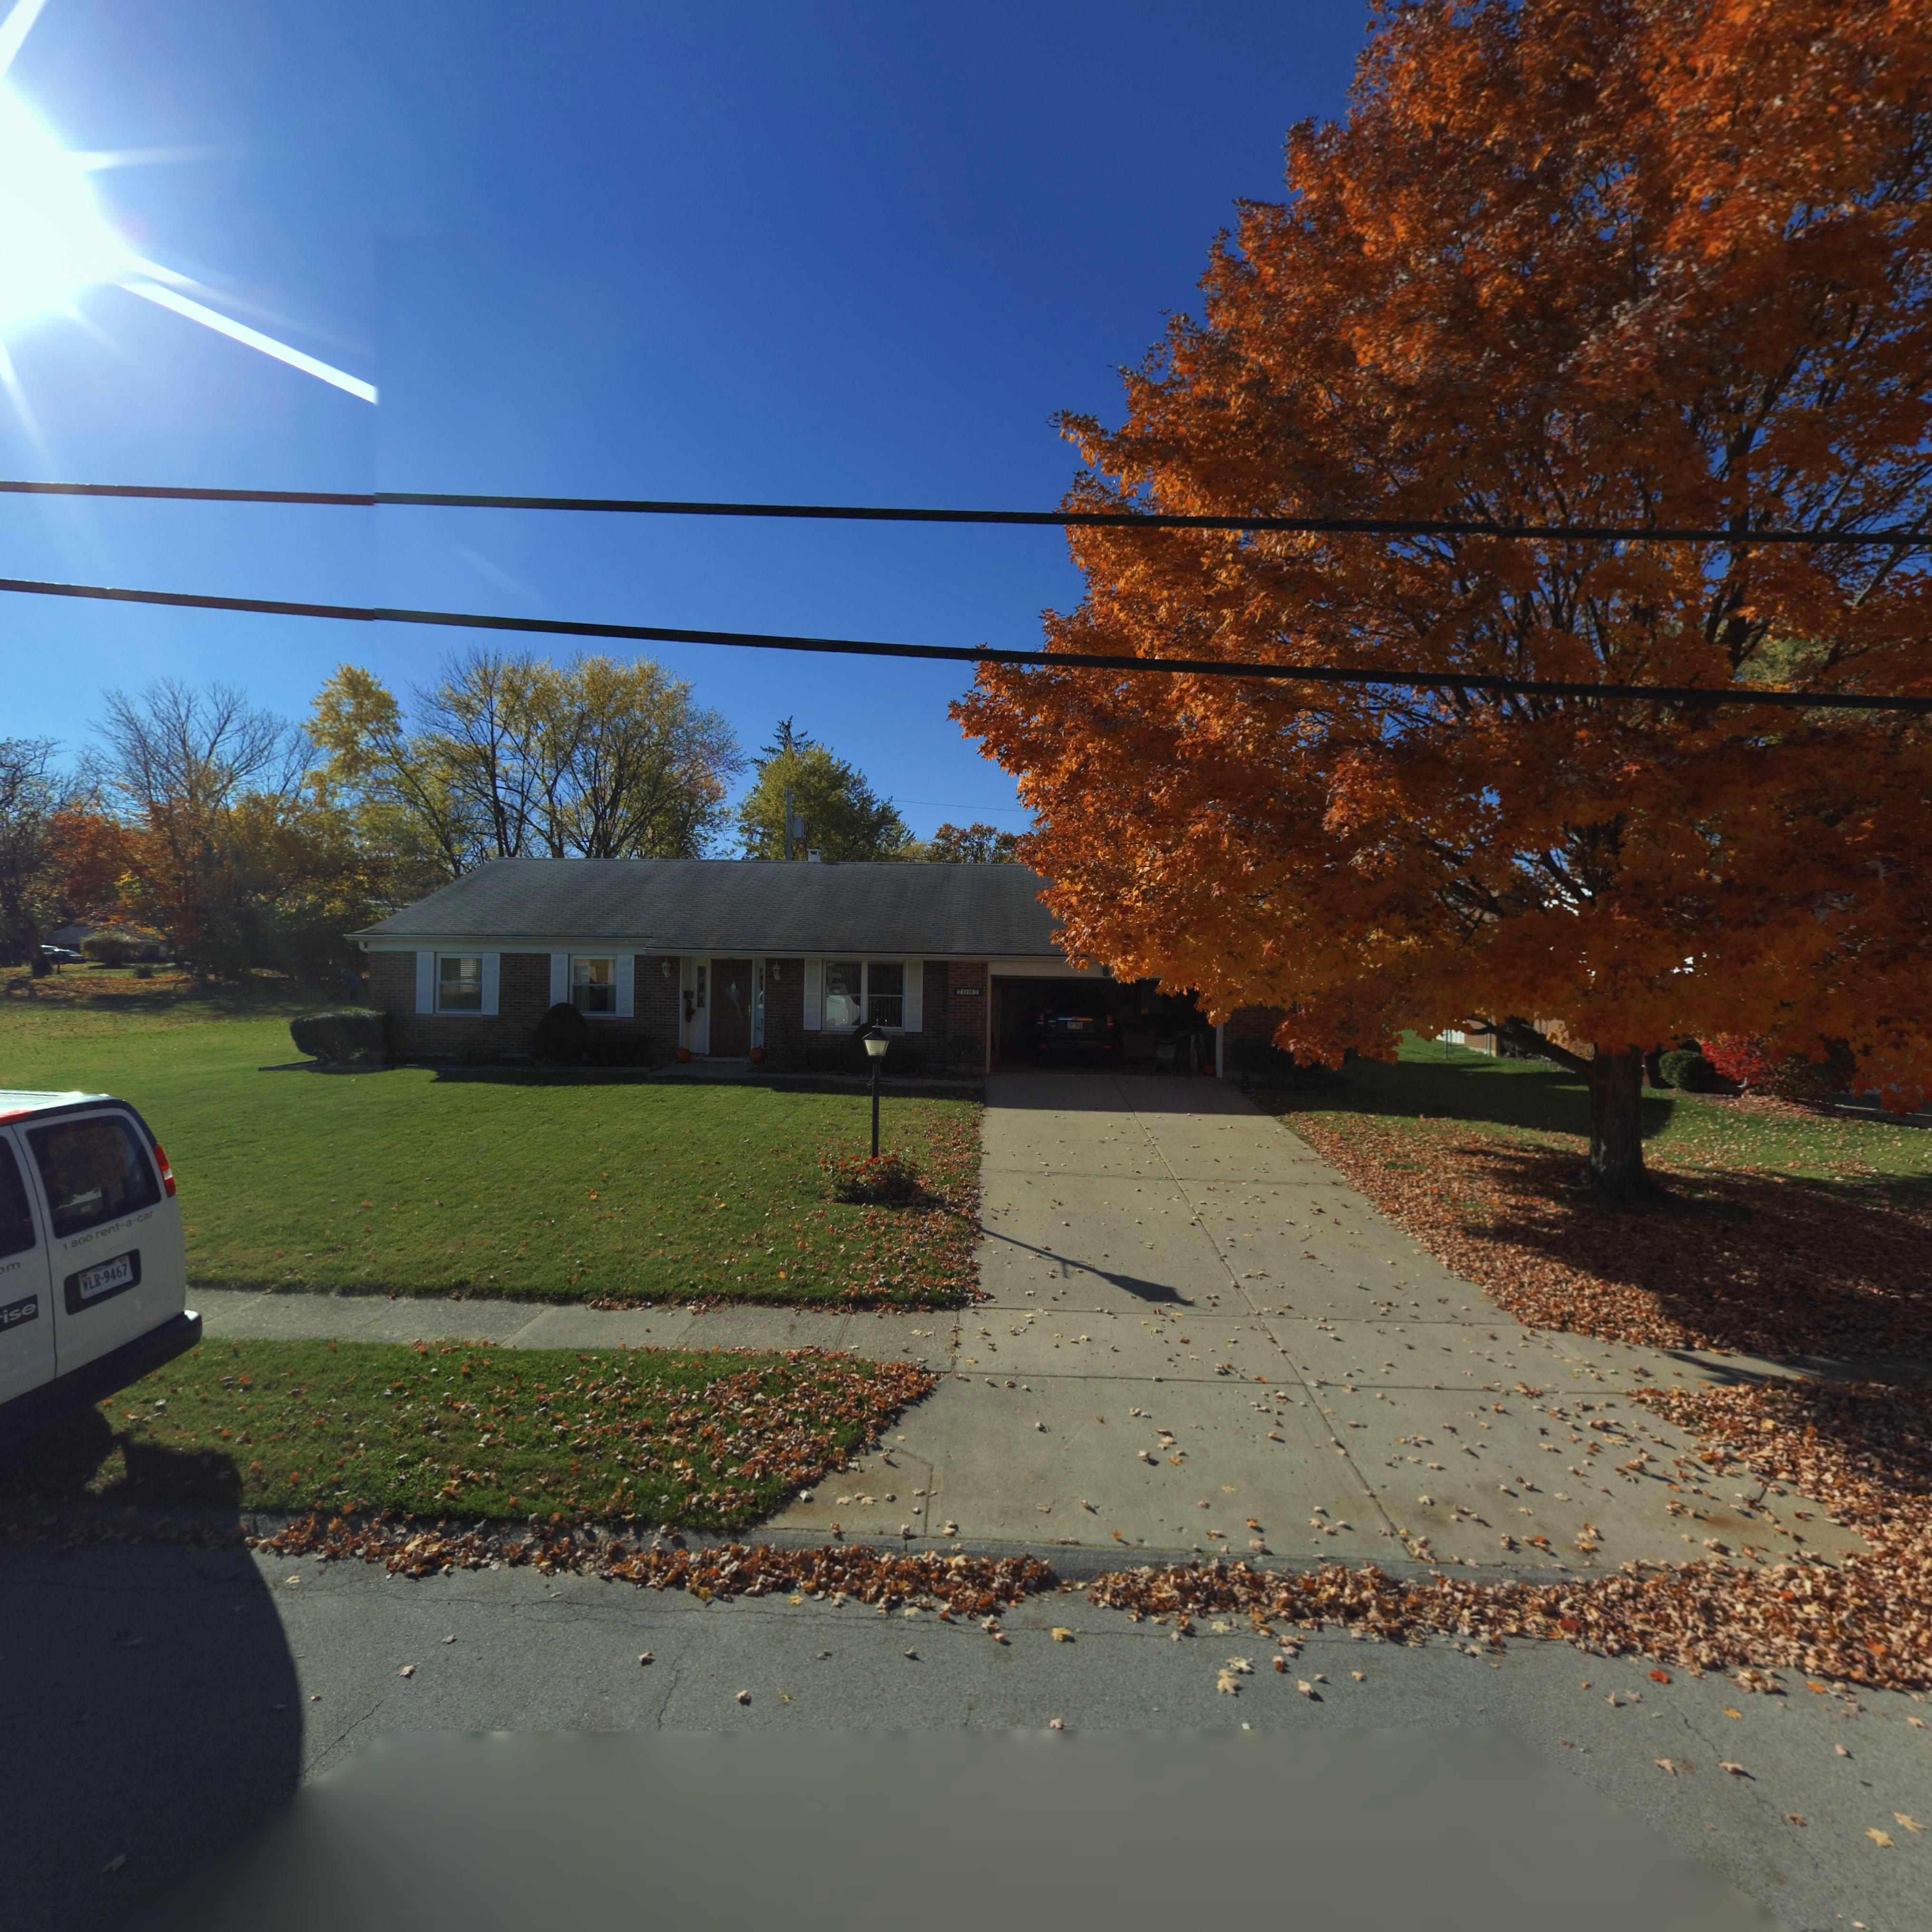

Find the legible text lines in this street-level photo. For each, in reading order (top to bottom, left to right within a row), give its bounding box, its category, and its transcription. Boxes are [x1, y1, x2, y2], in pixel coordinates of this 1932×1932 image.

[957, 989, 978, 995] StreetNumber: 7007
[59, 1208, 155, 1252] None: 1800 rent-a-car
[4, 1261, 22, 1273] None: m
[79, 1262, 128, 1293] None: WLR-9467
[2, 1302, 37, 1326] None: ise